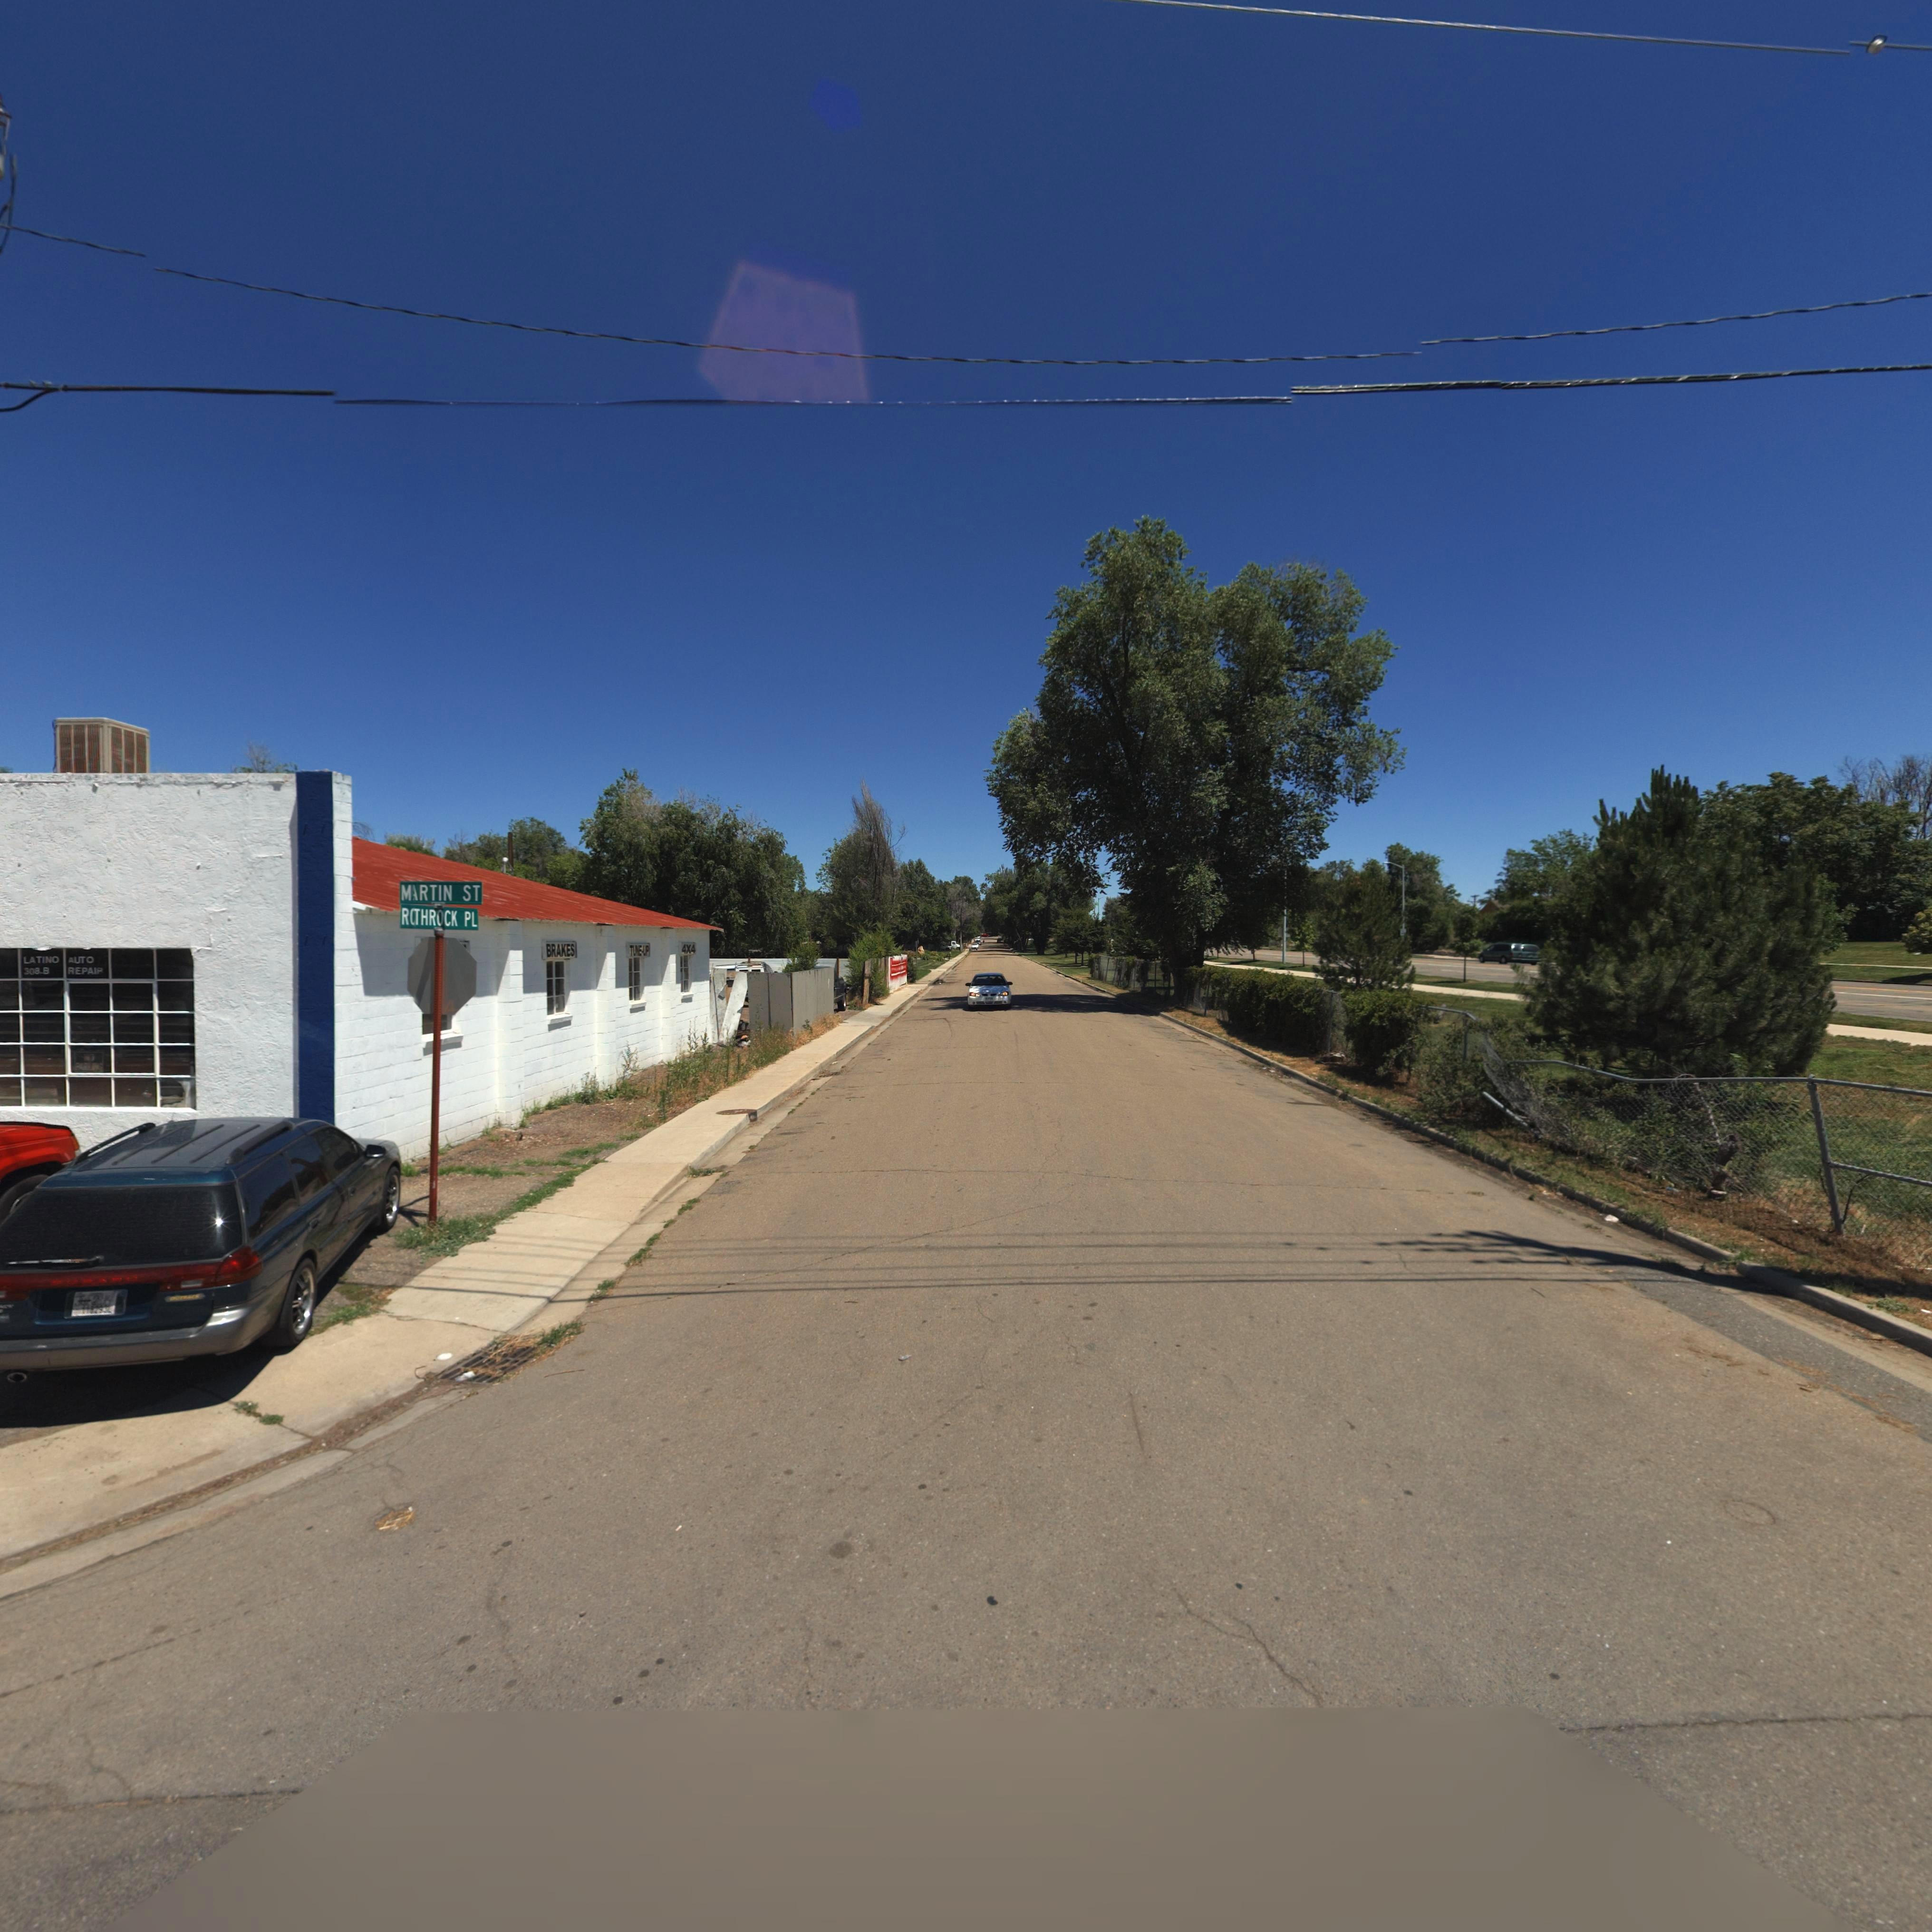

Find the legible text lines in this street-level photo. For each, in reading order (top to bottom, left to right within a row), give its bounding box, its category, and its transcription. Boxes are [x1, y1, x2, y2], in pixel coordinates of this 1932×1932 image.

[400, 884, 481, 902] StreetName: M*RTIN ST
[401, 907, 478, 927] StreetName: R*THROCK PL
[23, 956, 94, 964] BusinessName: LATINO * AUTO
[23, 966, 50, 975] StreetNumber: 308 B
[67, 966, 104, 975] BusinessName: REPAIP